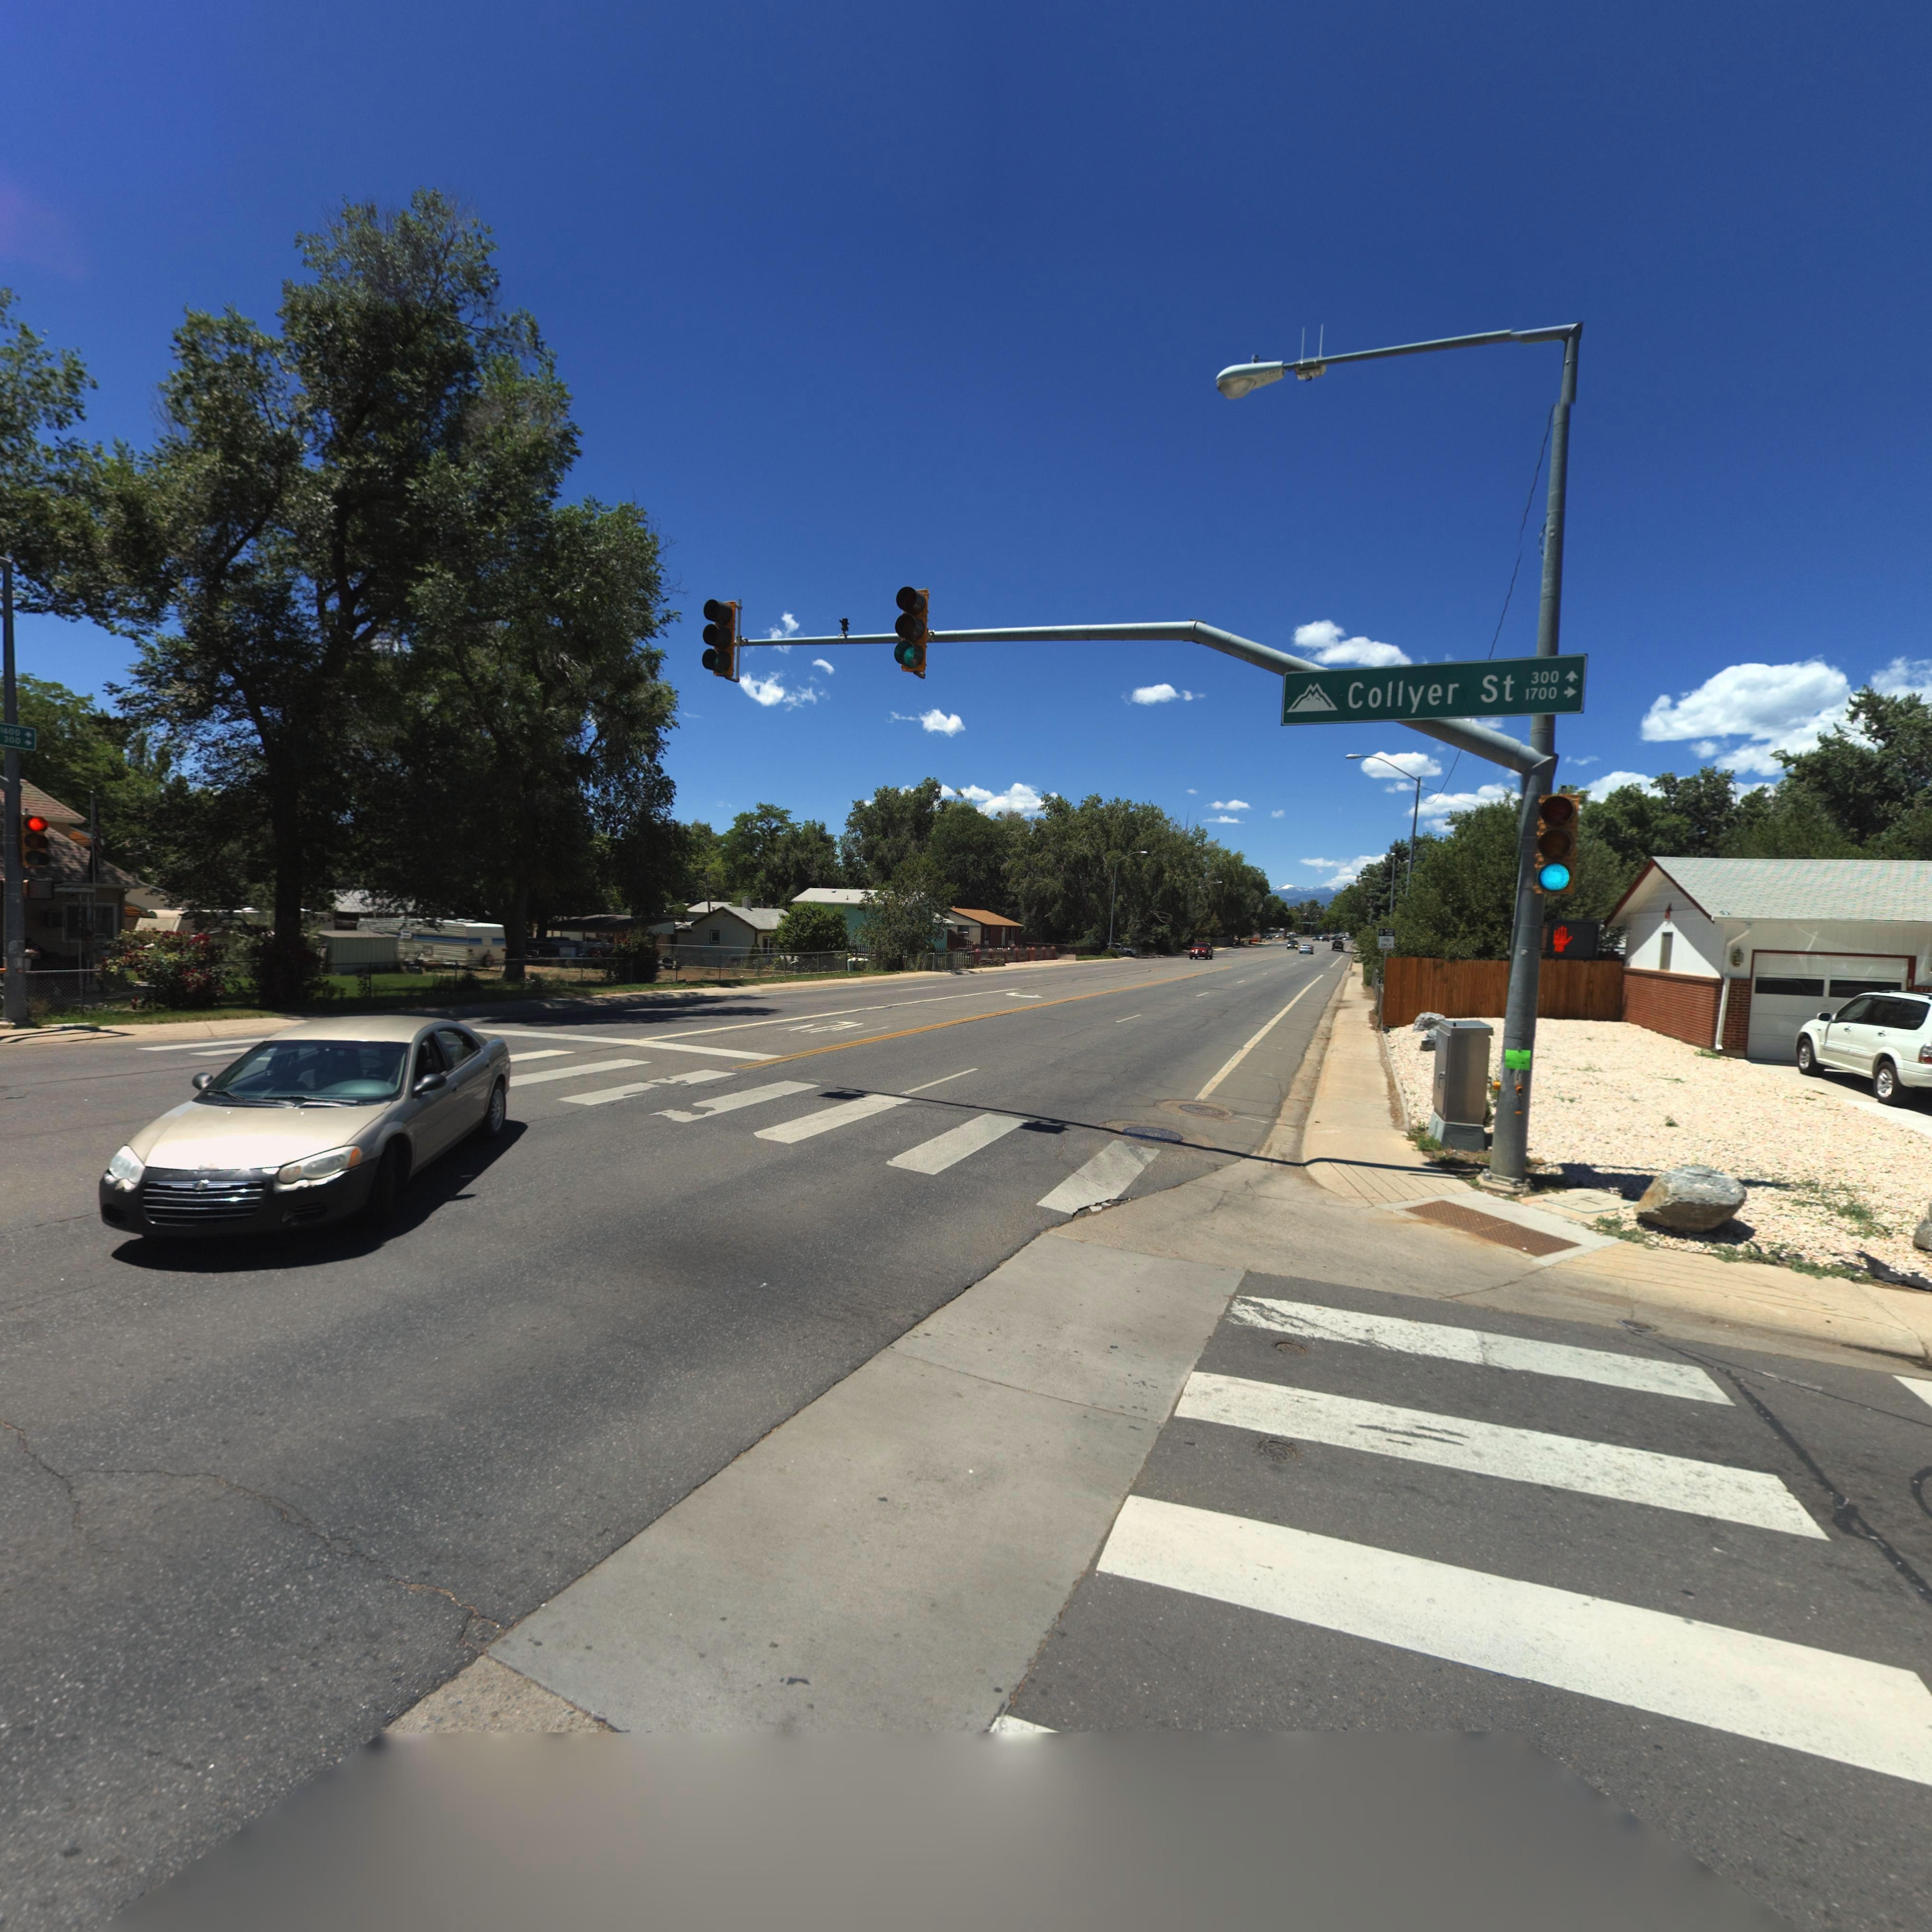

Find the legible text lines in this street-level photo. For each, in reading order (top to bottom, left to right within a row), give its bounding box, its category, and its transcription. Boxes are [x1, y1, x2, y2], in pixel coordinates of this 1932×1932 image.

[1530, 670, 1559, 685] StreetNumberRange: 300
[1347, 674, 1515, 716] StreetName: Collyer St
[1525, 686, 1577, 700] StreetNumberRange: 1700->